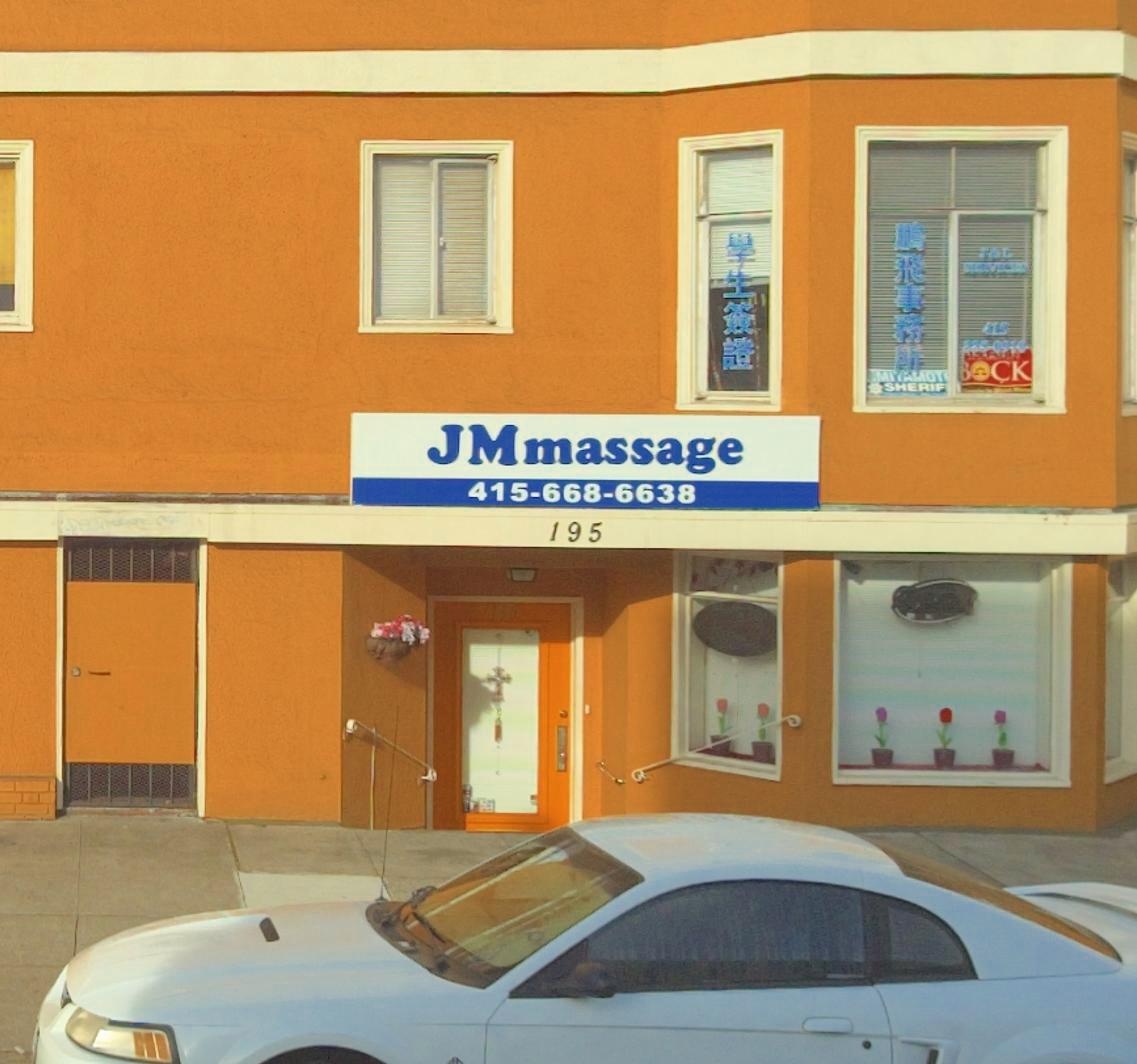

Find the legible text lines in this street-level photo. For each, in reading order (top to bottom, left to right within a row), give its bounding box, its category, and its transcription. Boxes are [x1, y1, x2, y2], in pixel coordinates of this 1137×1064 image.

[989, 354, 1035, 384] None: CK
[881, 379, 949, 394] None: SHERIF
[422, 419, 747, 479] BusinessName: JMmassage
[465, 480, 703, 507] None: 415-668-6638
[547, 519, 605, 545] StreetNumber: 195